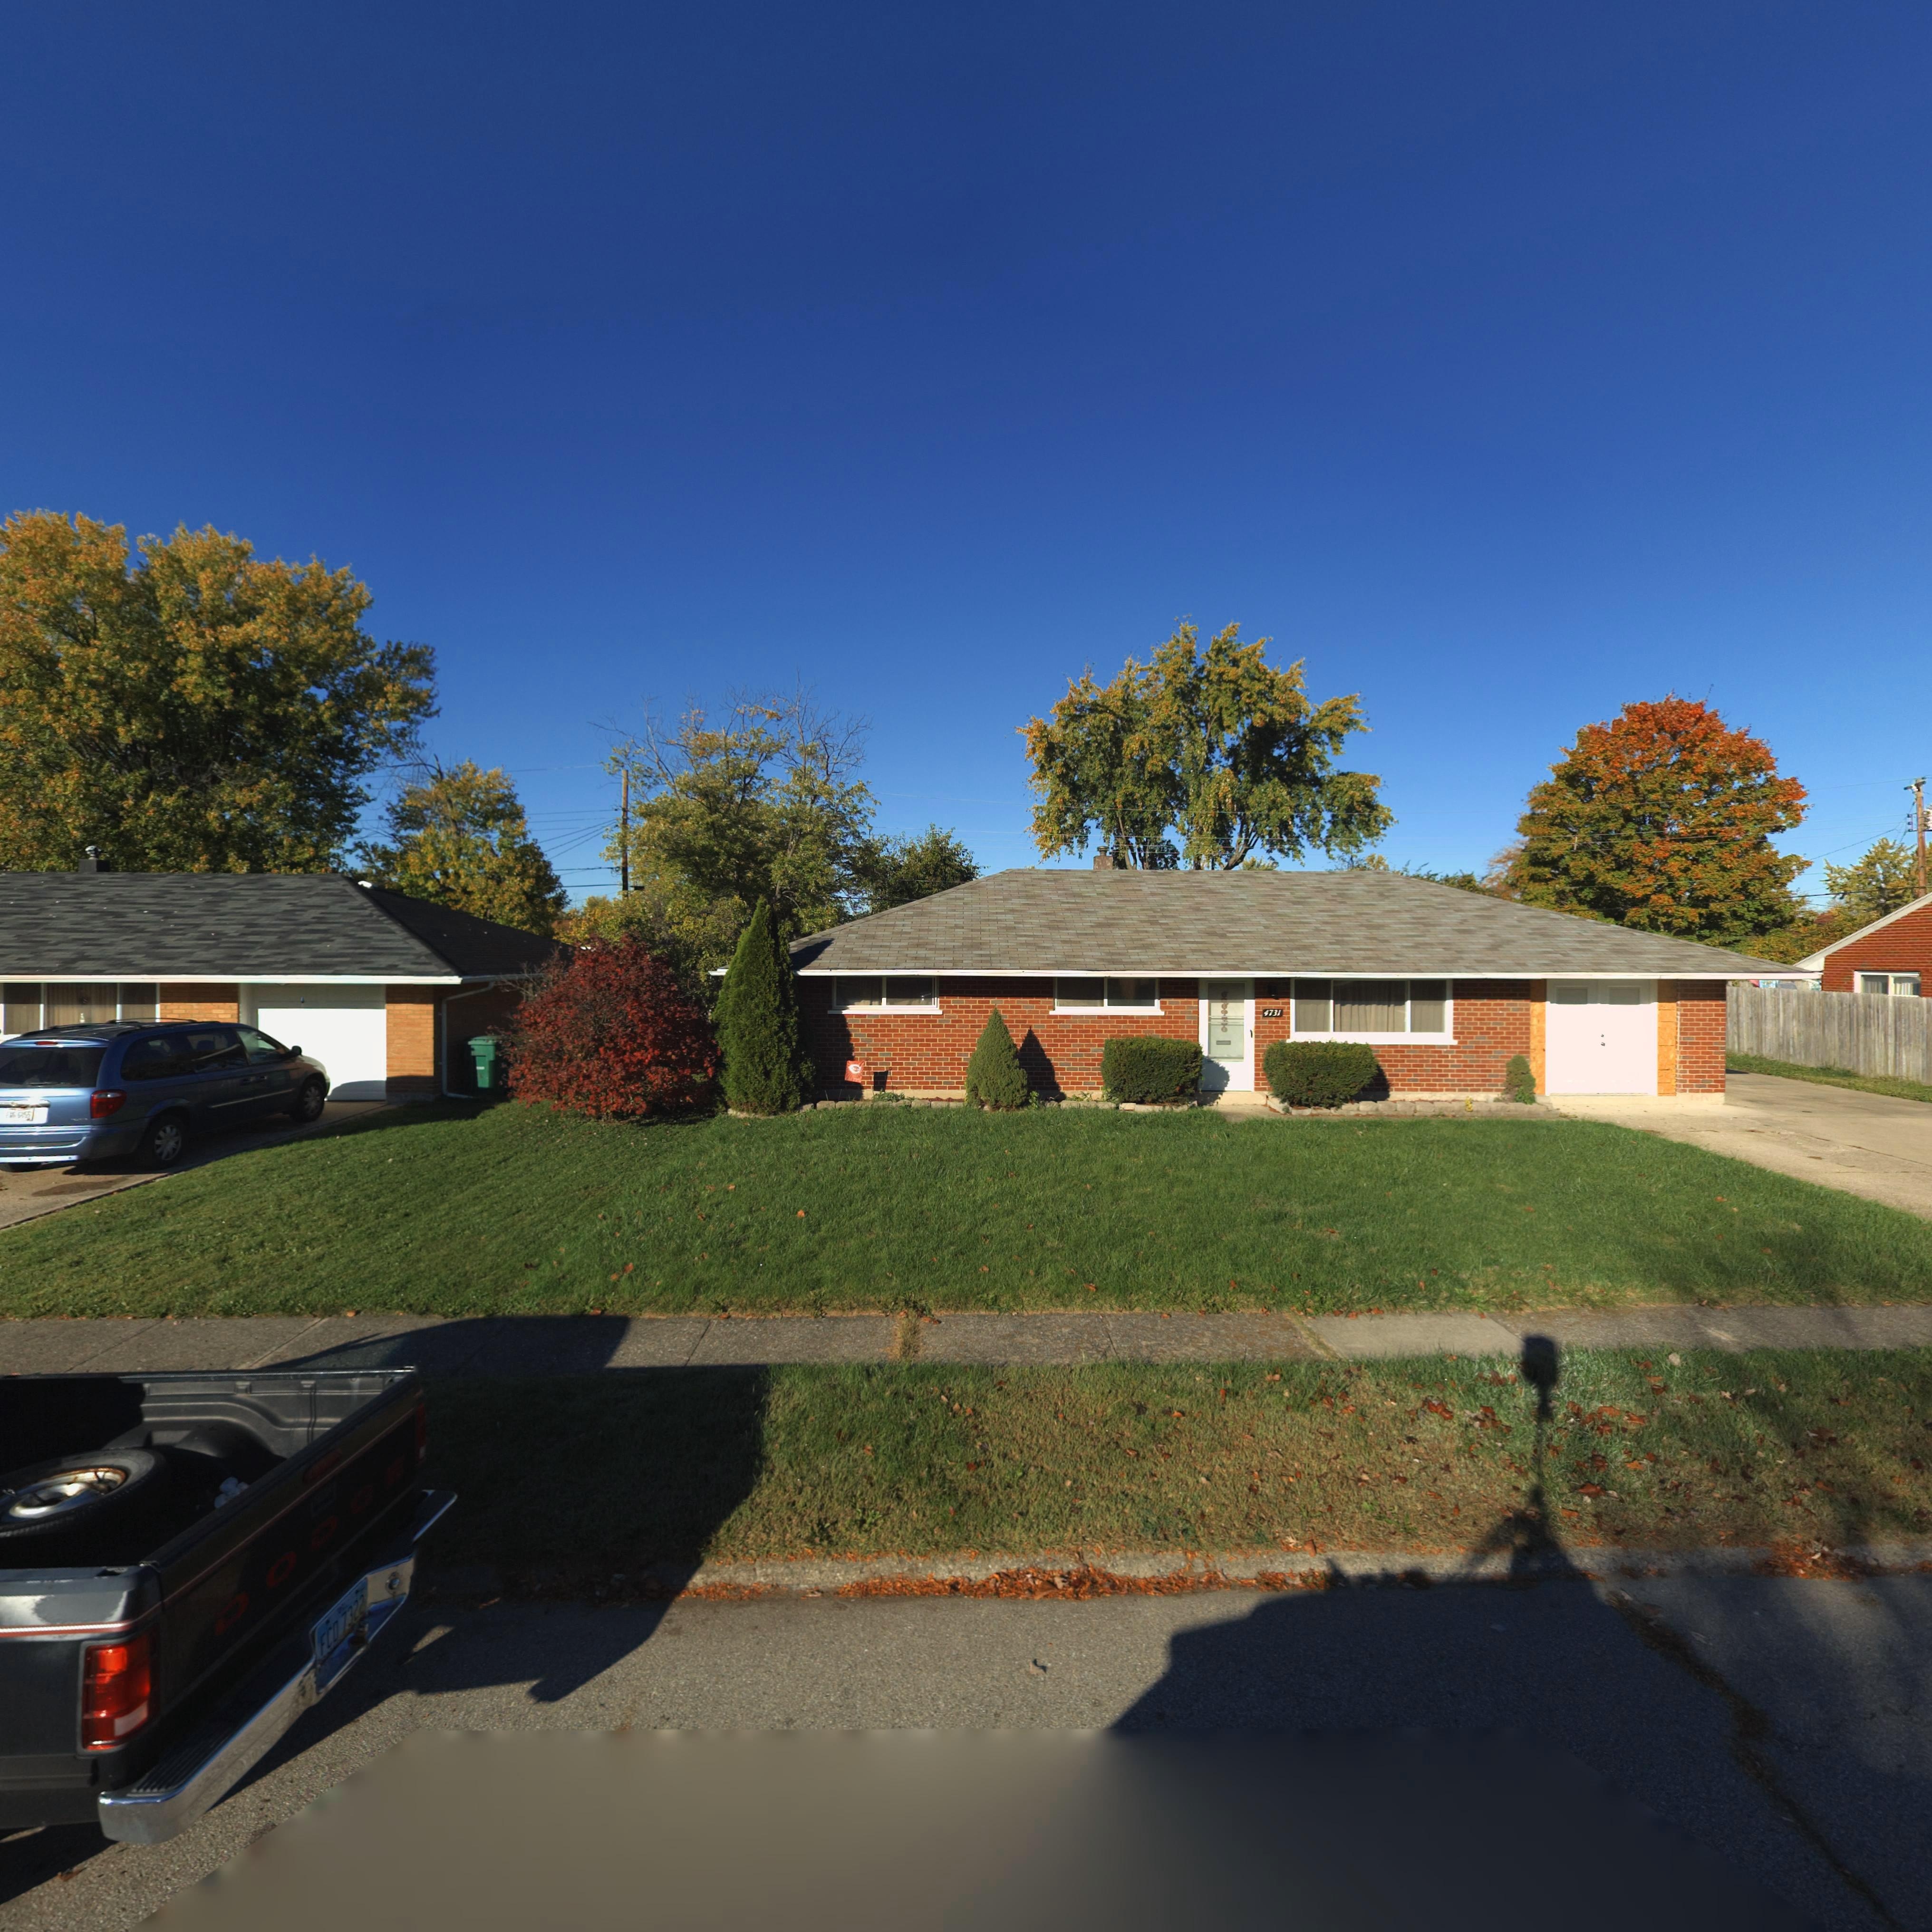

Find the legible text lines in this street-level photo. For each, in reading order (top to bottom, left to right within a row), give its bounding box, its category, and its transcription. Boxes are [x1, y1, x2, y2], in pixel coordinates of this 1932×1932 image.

[1263, 1009, 1282, 1016] StreetNumber: 4731